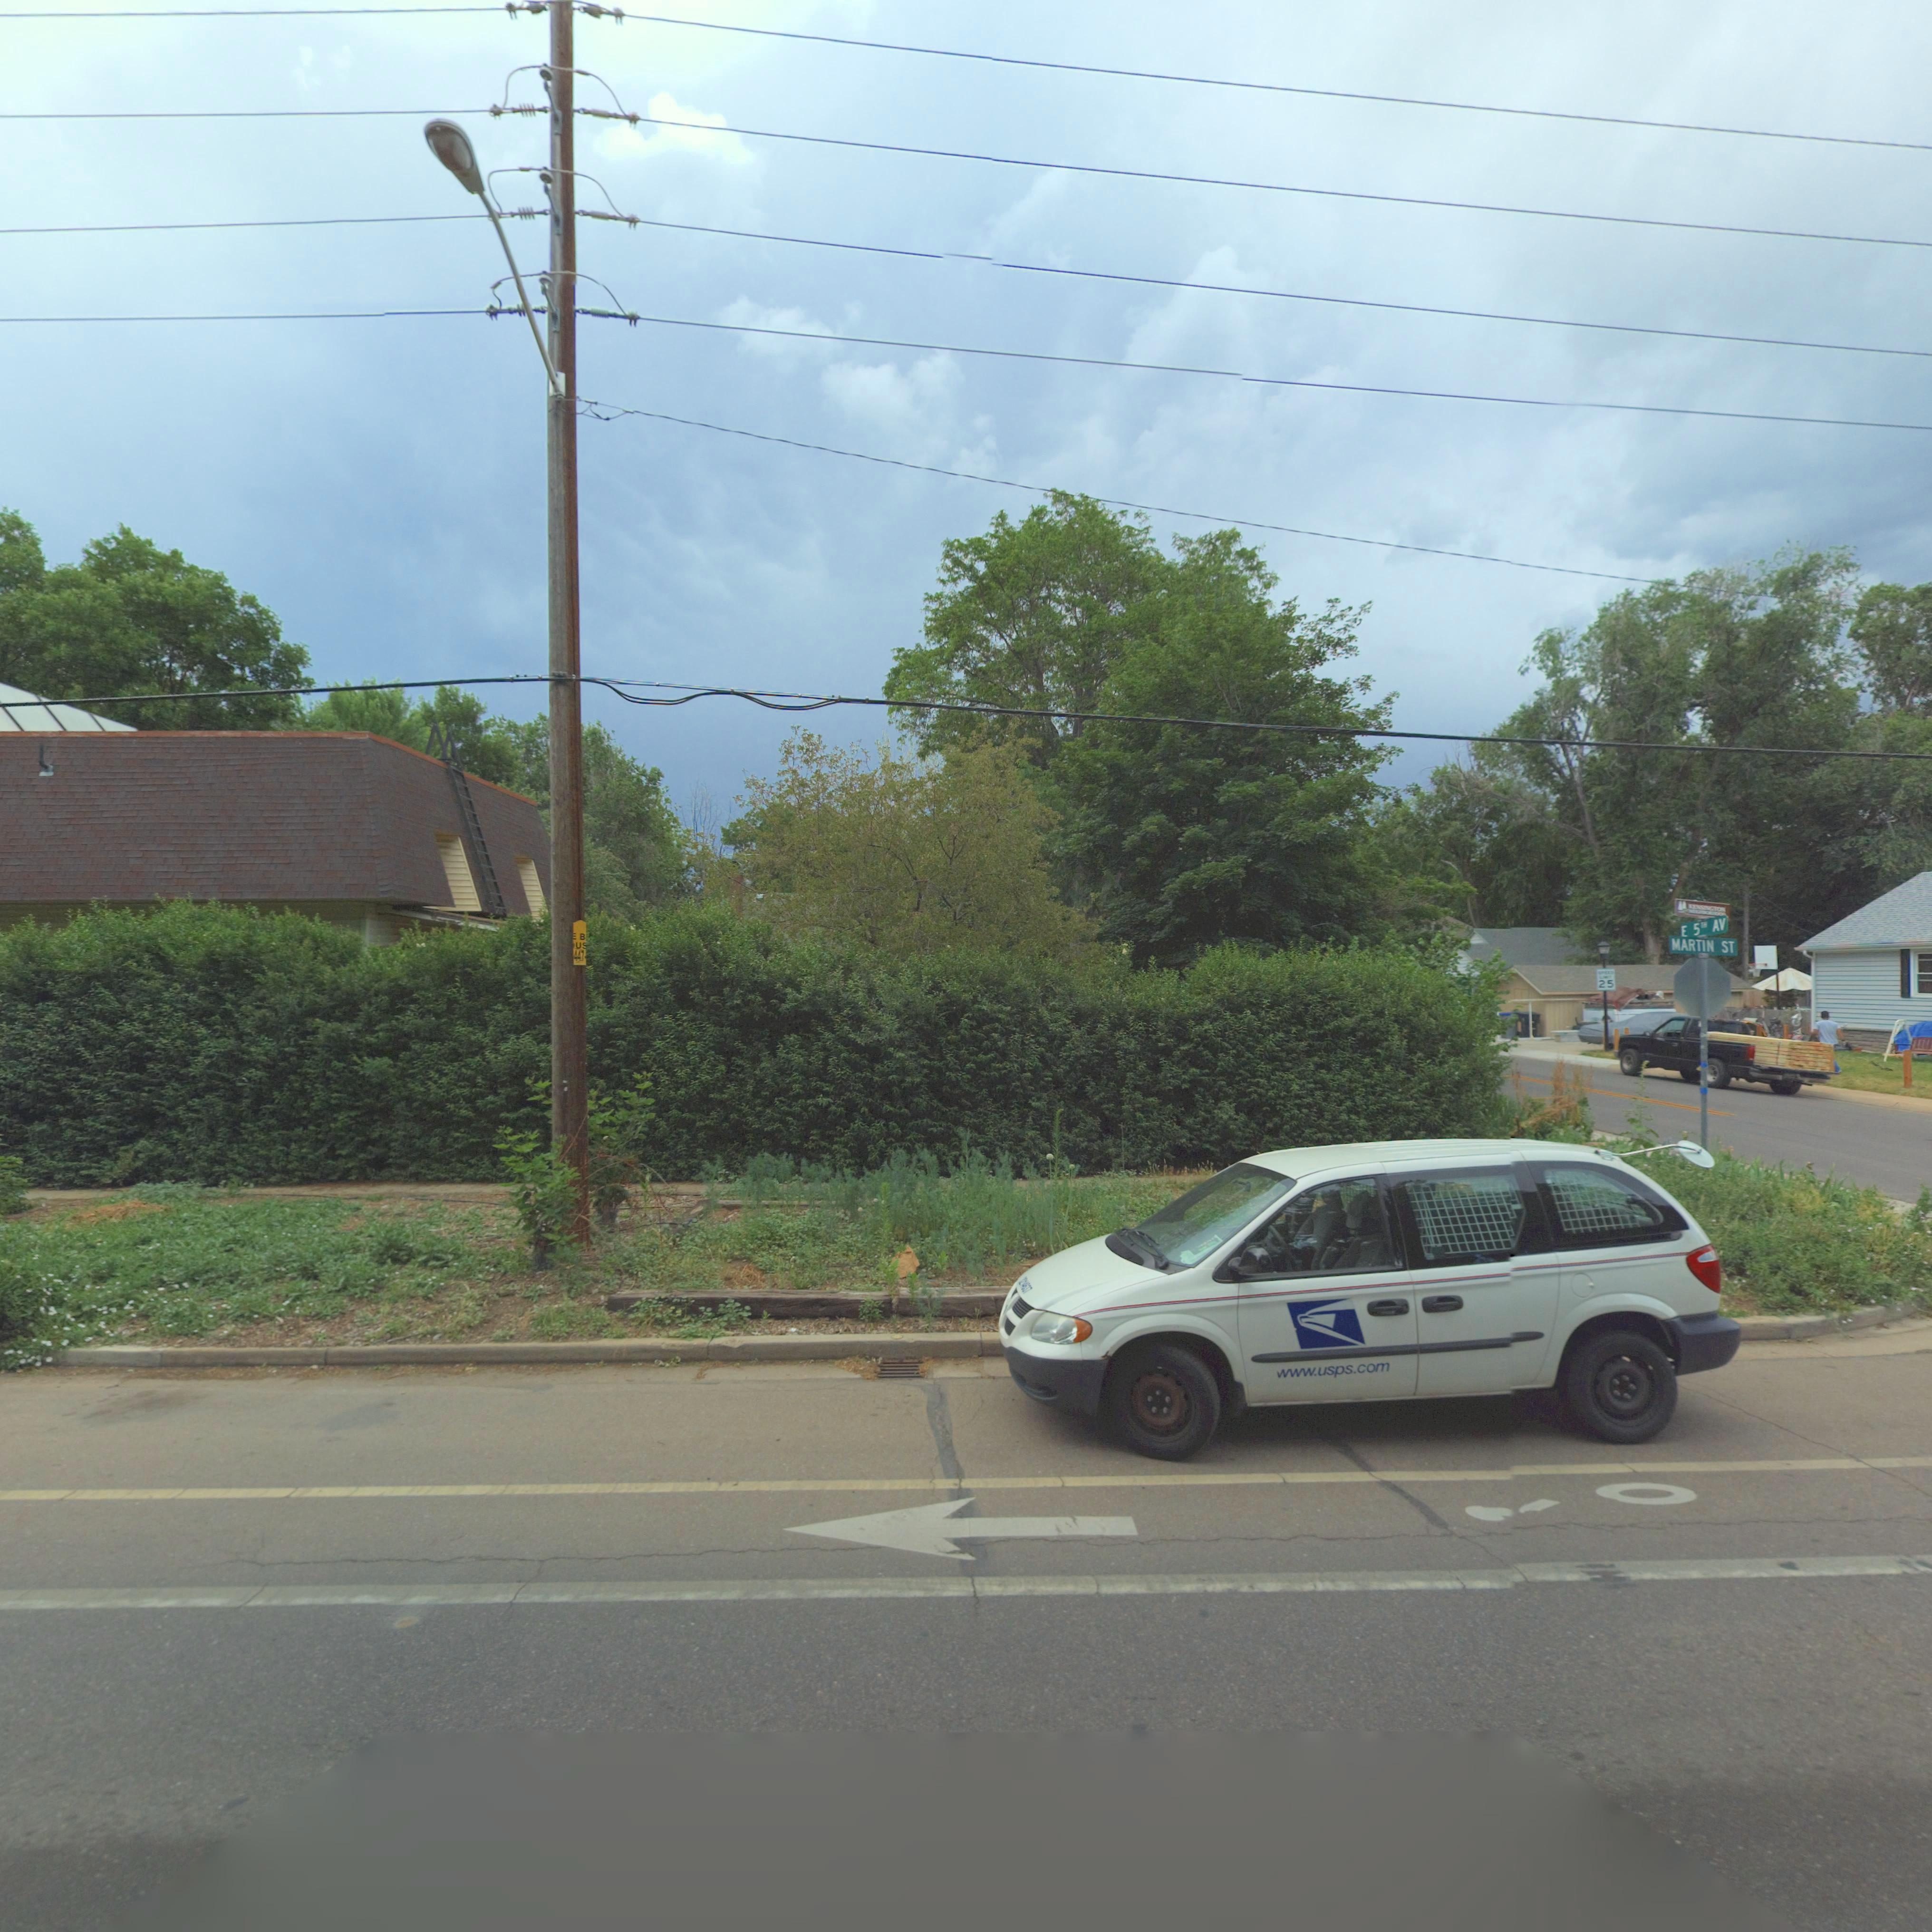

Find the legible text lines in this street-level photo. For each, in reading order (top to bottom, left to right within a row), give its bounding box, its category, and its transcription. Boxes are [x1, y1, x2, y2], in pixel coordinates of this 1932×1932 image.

[1681, 917, 1726, 937] StreetName: E 5TH AV
[1671, 937, 1734, 954] StreetName: MARTIN ST